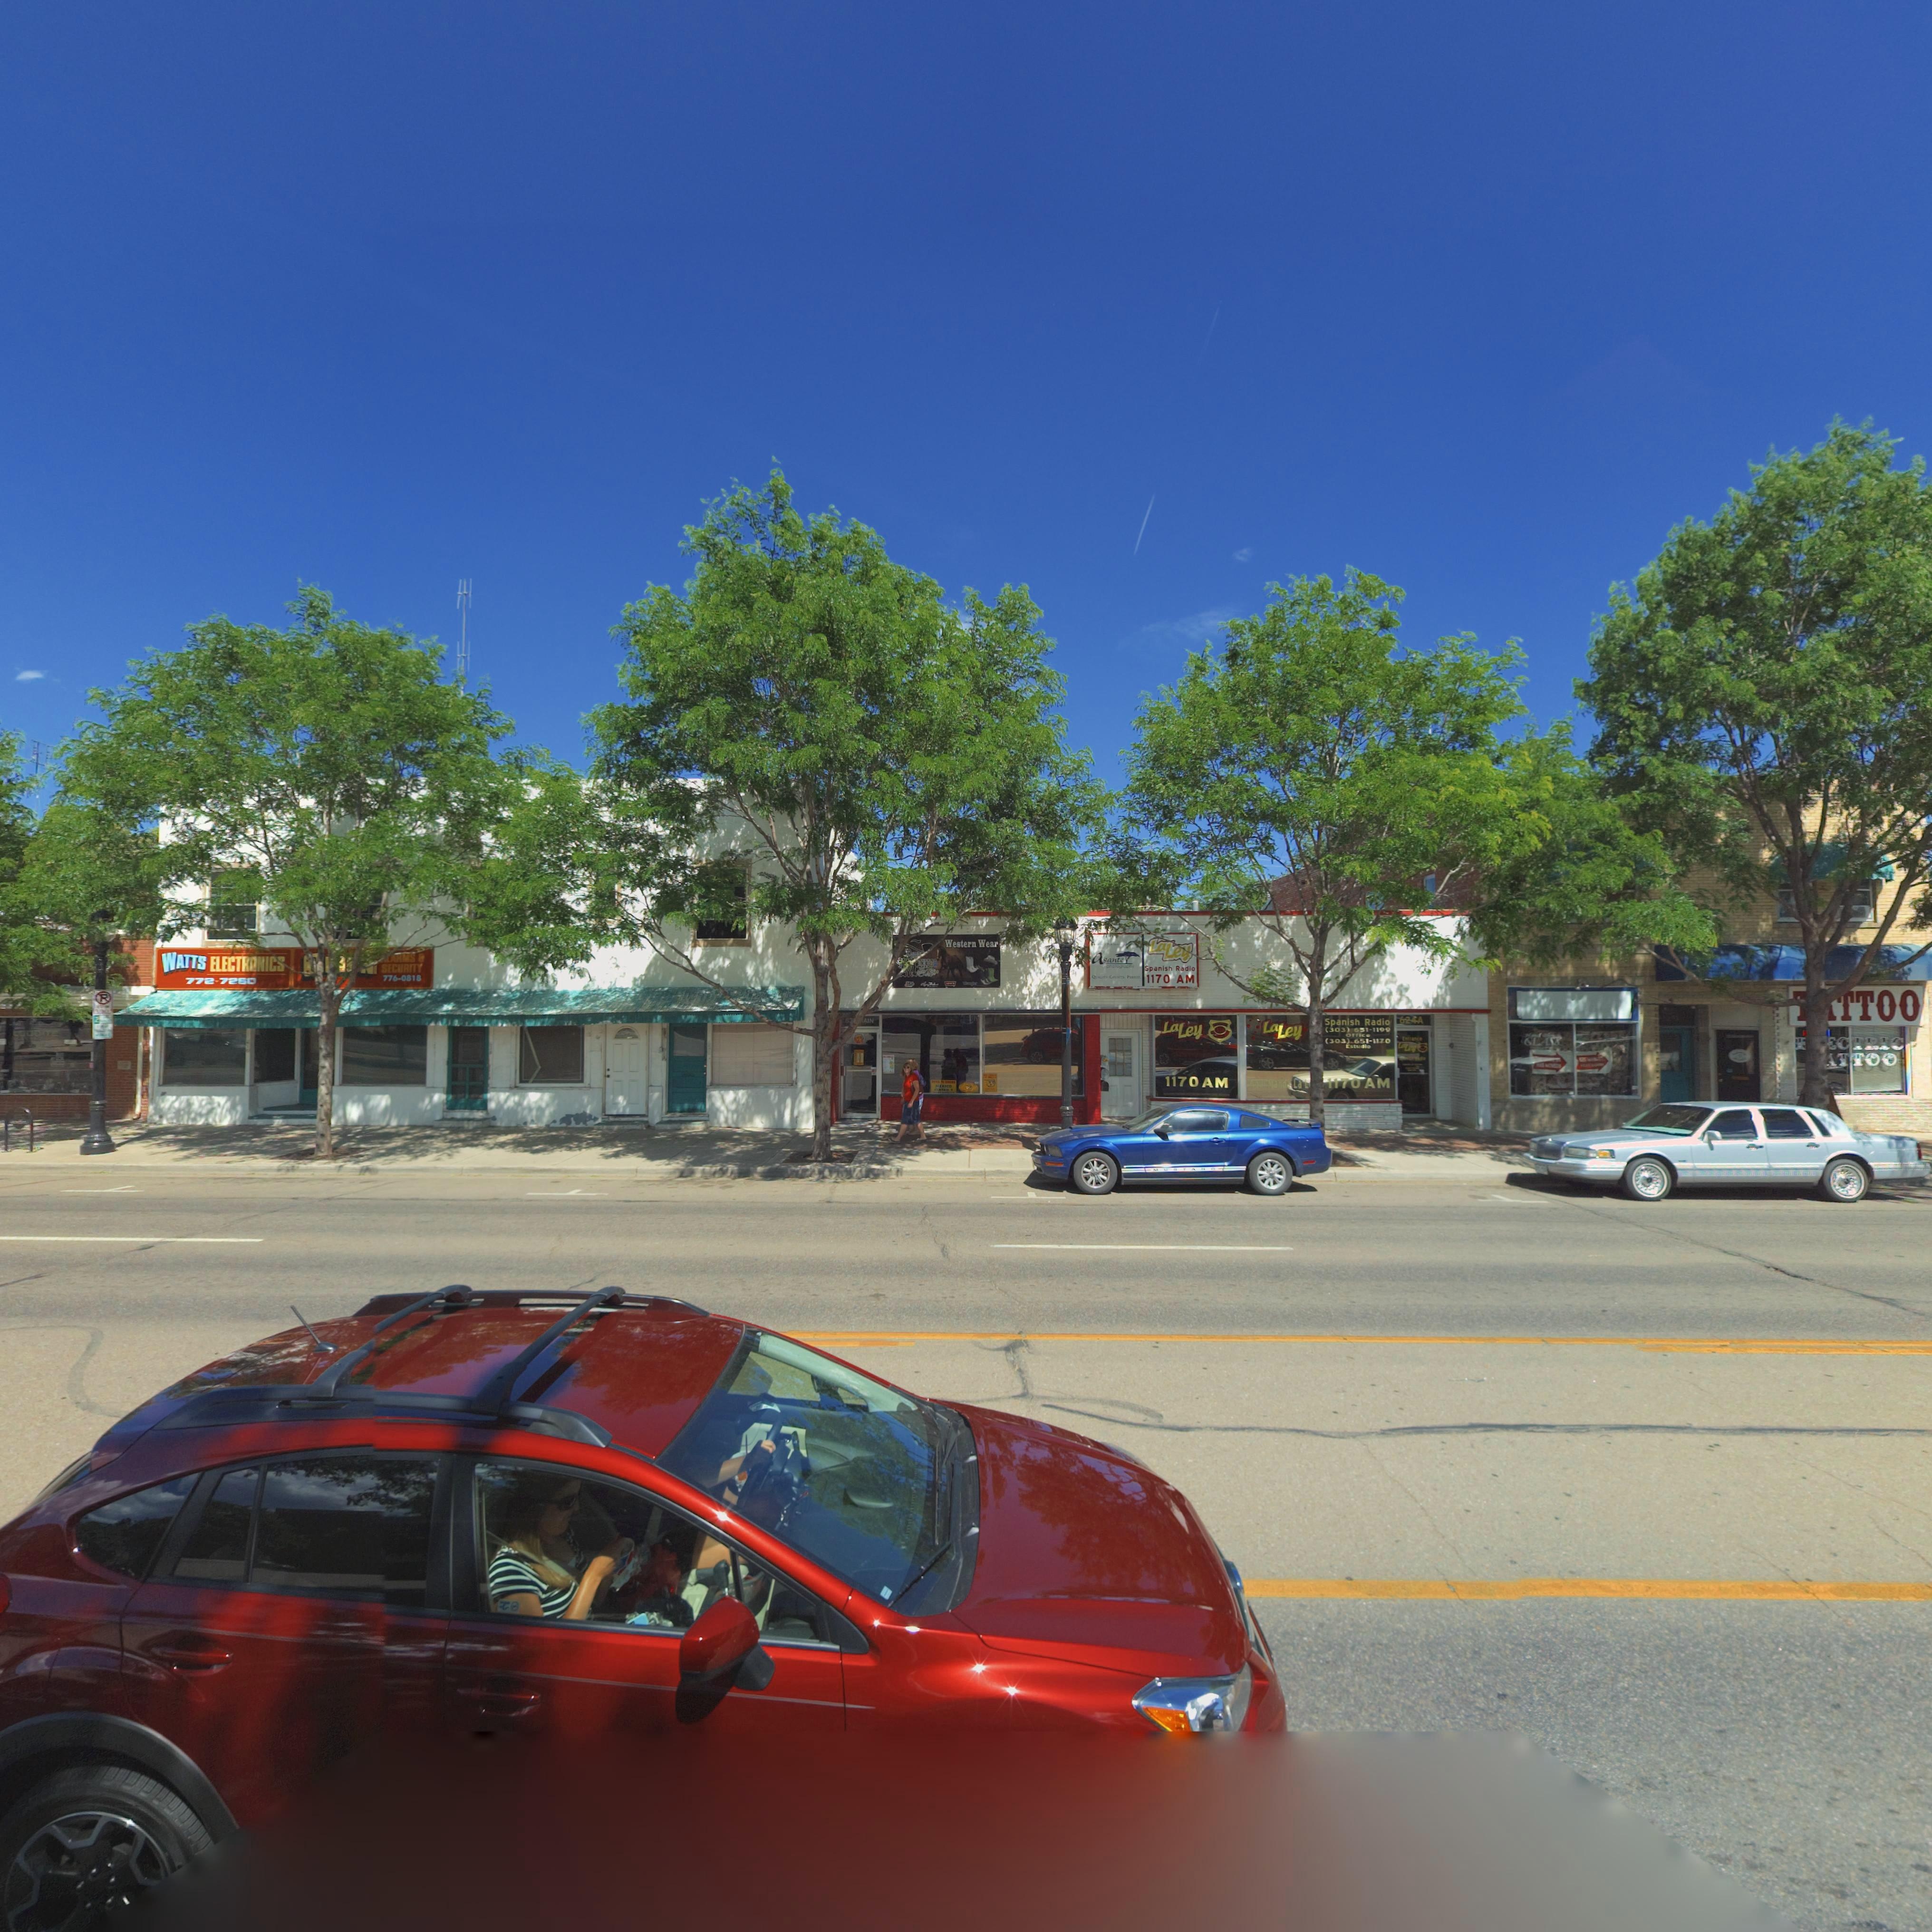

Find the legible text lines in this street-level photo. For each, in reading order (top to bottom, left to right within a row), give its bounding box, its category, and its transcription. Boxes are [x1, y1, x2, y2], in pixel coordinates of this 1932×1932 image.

[1150, 940, 1166, 953] BusinessName: La
[161, 952, 206, 973] BusinessName: WATTS
[210, 956, 285, 972] BusinessName: ELECTRONICS
[381, 963, 423, 973] BusinessName: SECURITY
[1091, 952, 1103, 965] BusinessName: a
[1103, 957, 1124, 962] BusinessName: sante
[1106, 964, 1134, 968] BusinessName: *********y
[1144, 966, 1195, 972] BusinessName: Spanish Radio
[1146, 974, 1194, 984] BusinessName: 1170 AM
[1791, 989, 1920, 1022] BusinessName: ***TOO
[13, 1030, 58, 1036] BusinessName: **D**TE
[845, 1017, 853, 1024] StreetNumber: 6*
[861, 1017, 874, 1023] StreetName: *AIN
[1163, 1021, 1179, 1034] BusinessName: La
[1178, 1023, 1202, 1040] BusinessName: Ley
[1263, 1021, 1278, 1034] BusinessName: La
[1277, 1023, 1303, 1040] BusinessName: Ley
[1324, 1017, 1390, 1027] BusinessName: Spanish Radio
[1399, 1015, 1424, 1024] StreetNumber: 624A
[245, 1039, 249, 1053] StreetNumber: **0
[1398, 1042, 1405, 1048] BusinessName: La
[1404, 1043, 1416, 1053] BusinessName: Le*
[1523, 1036, 1561, 1045] BusinessName: *LAS*
[1796, 1036, 1904, 1050] BusinessName: **EC*TRIC
[1826, 1052, 1898, 1067] BusinessName: *T*TOO
[1165, 1076, 1228, 1088] BusinessName: 1170 AM
[1327, 1077, 1390, 1089] BusinessName: 1170 AM